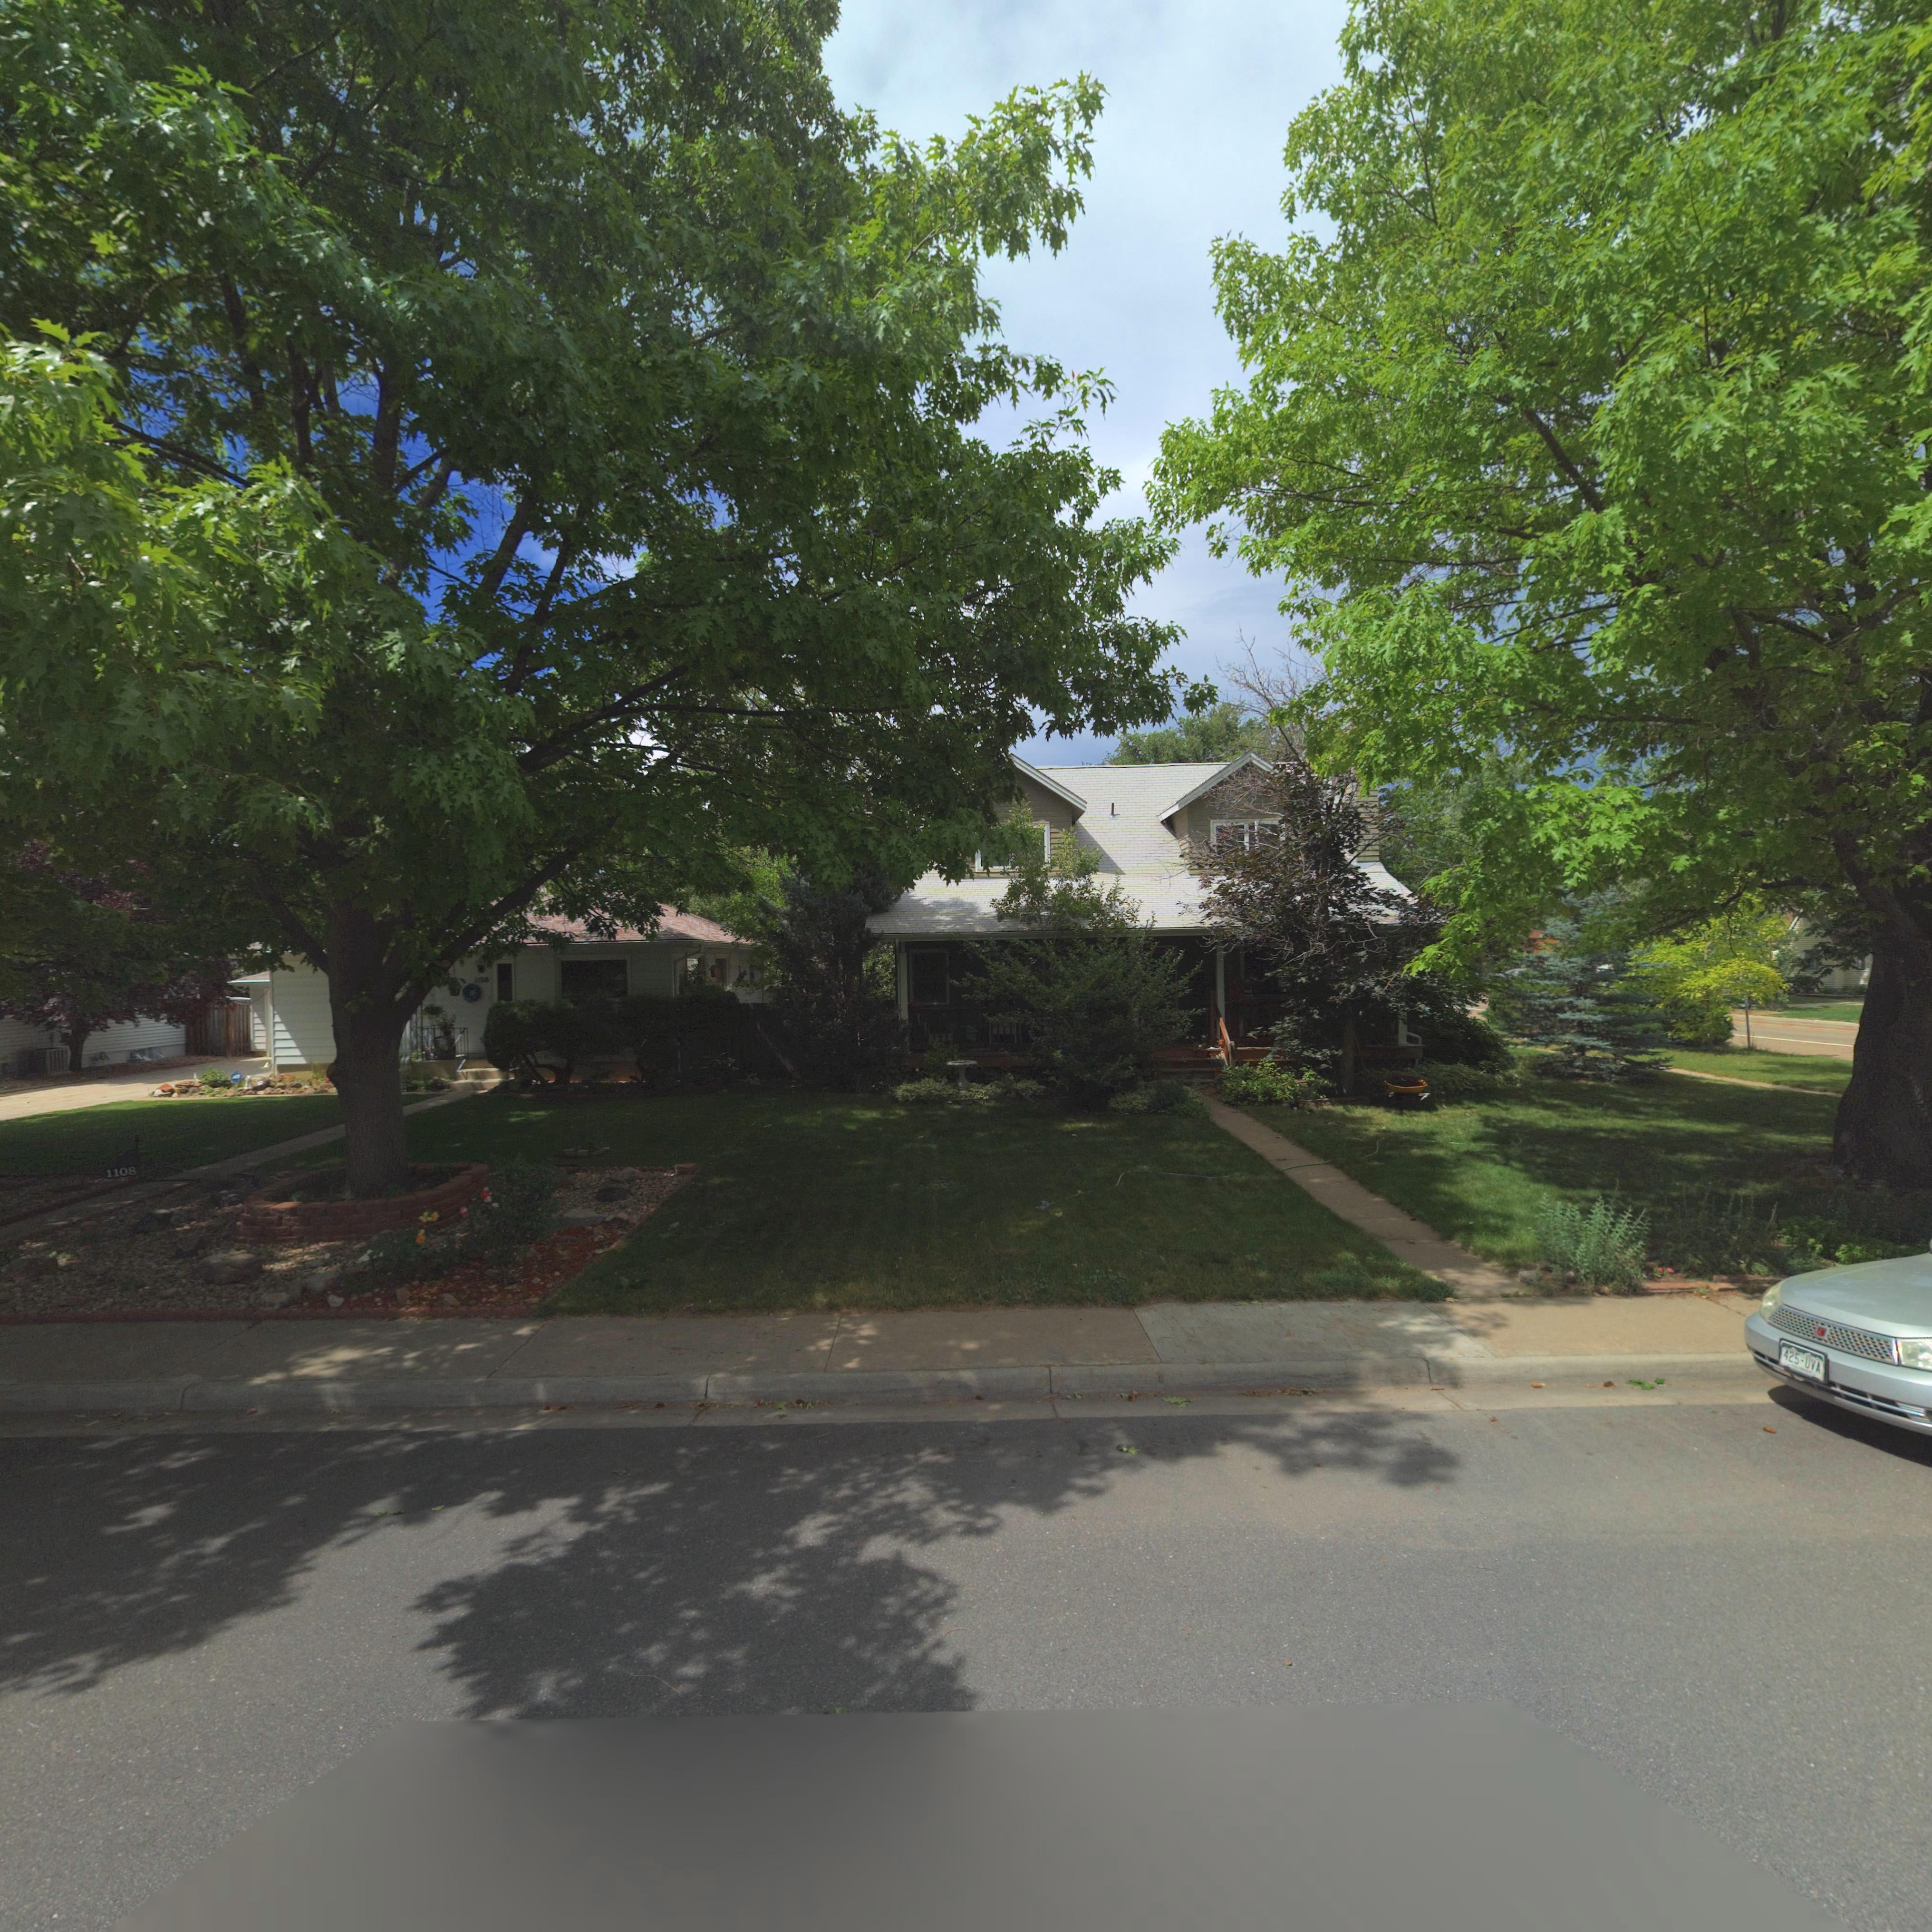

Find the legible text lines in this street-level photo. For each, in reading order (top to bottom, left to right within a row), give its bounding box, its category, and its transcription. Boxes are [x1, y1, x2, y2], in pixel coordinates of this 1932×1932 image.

[473, 976, 490, 984] StreetNumber: 1108
[106, 1165, 137, 1179] StreetNumber: 1108